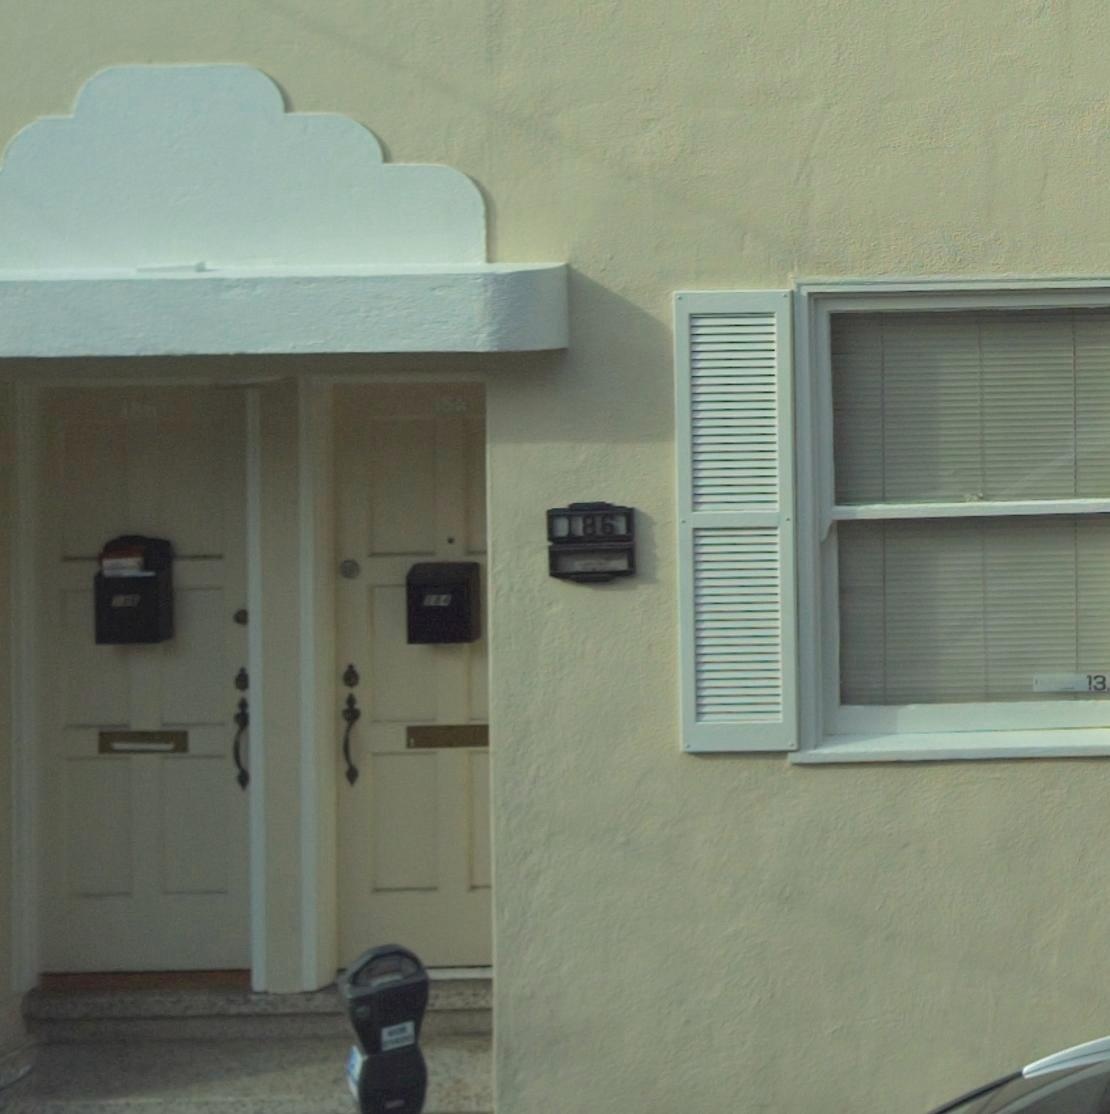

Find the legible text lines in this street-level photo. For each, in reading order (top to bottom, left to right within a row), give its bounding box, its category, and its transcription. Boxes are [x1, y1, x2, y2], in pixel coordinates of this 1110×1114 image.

[564, 512, 617, 539] StreetNumber: 186